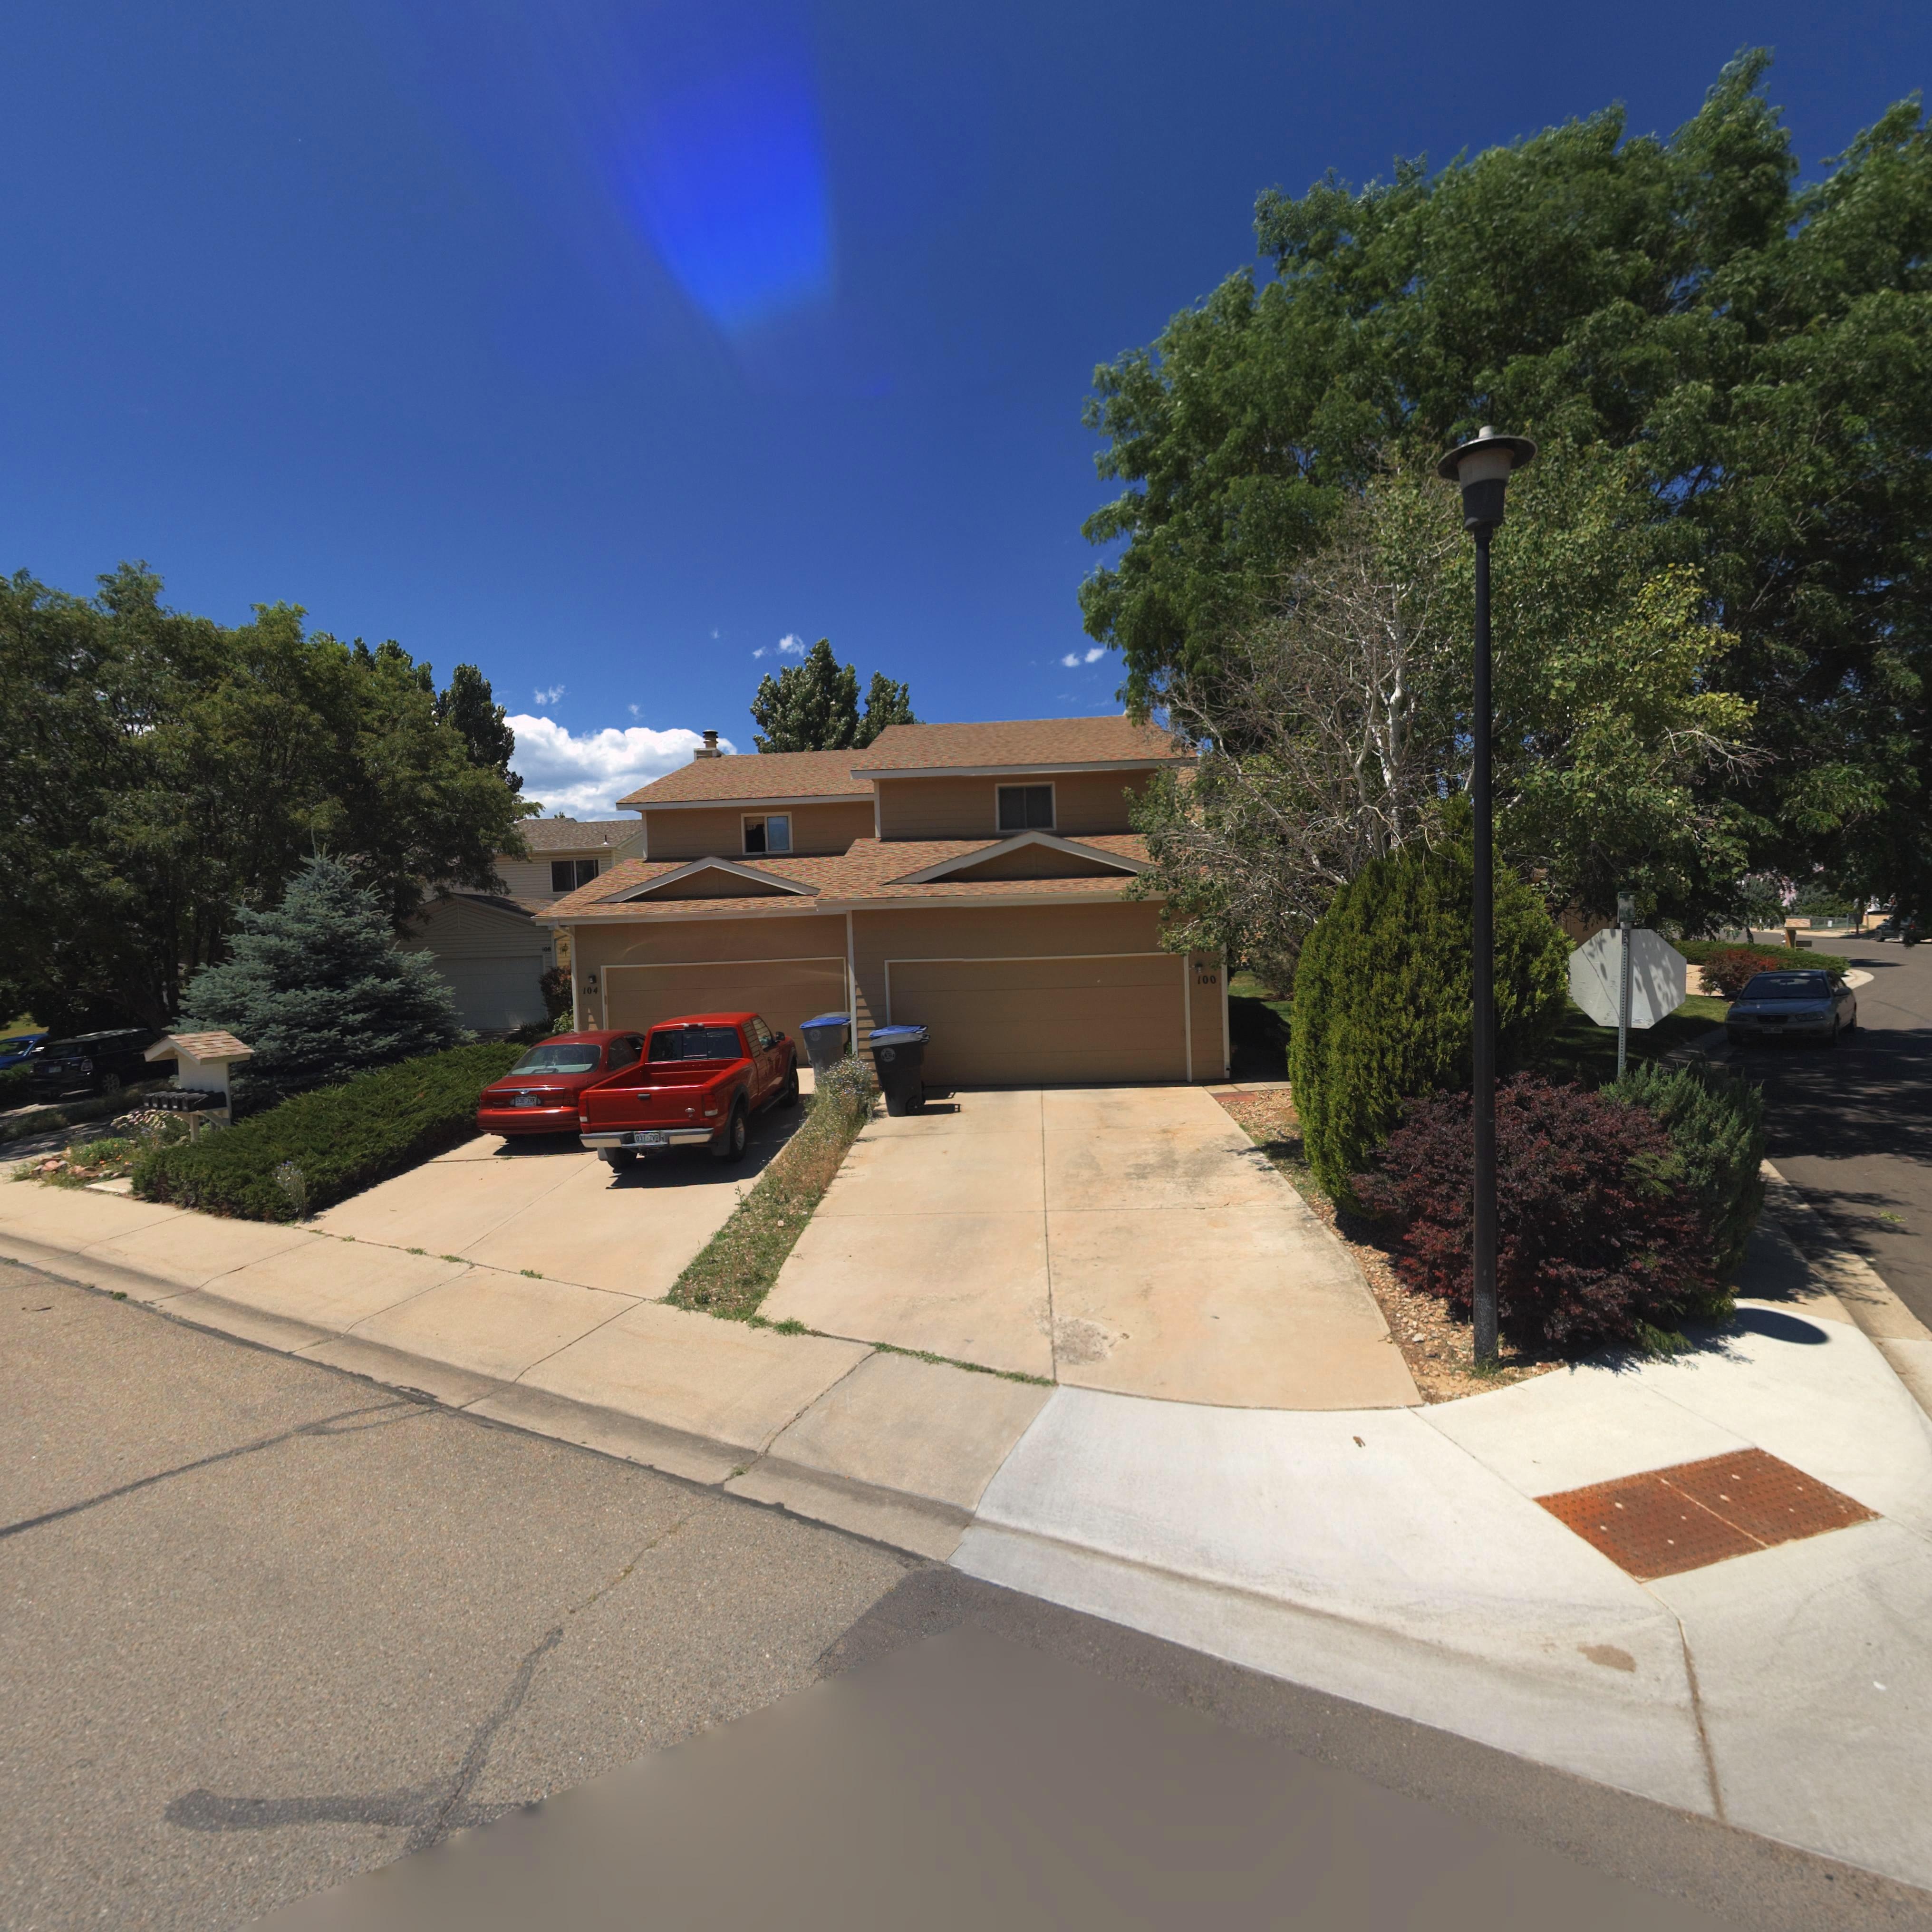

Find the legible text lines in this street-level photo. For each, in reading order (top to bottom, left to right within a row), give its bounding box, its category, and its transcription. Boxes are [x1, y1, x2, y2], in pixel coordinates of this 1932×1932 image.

[541, 947, 551, 952] StreetNumber: 10*
[1197, 975, 1217, 985] StreetNumber: 100
[582, 986, 598, 995] StreetNumber: 104